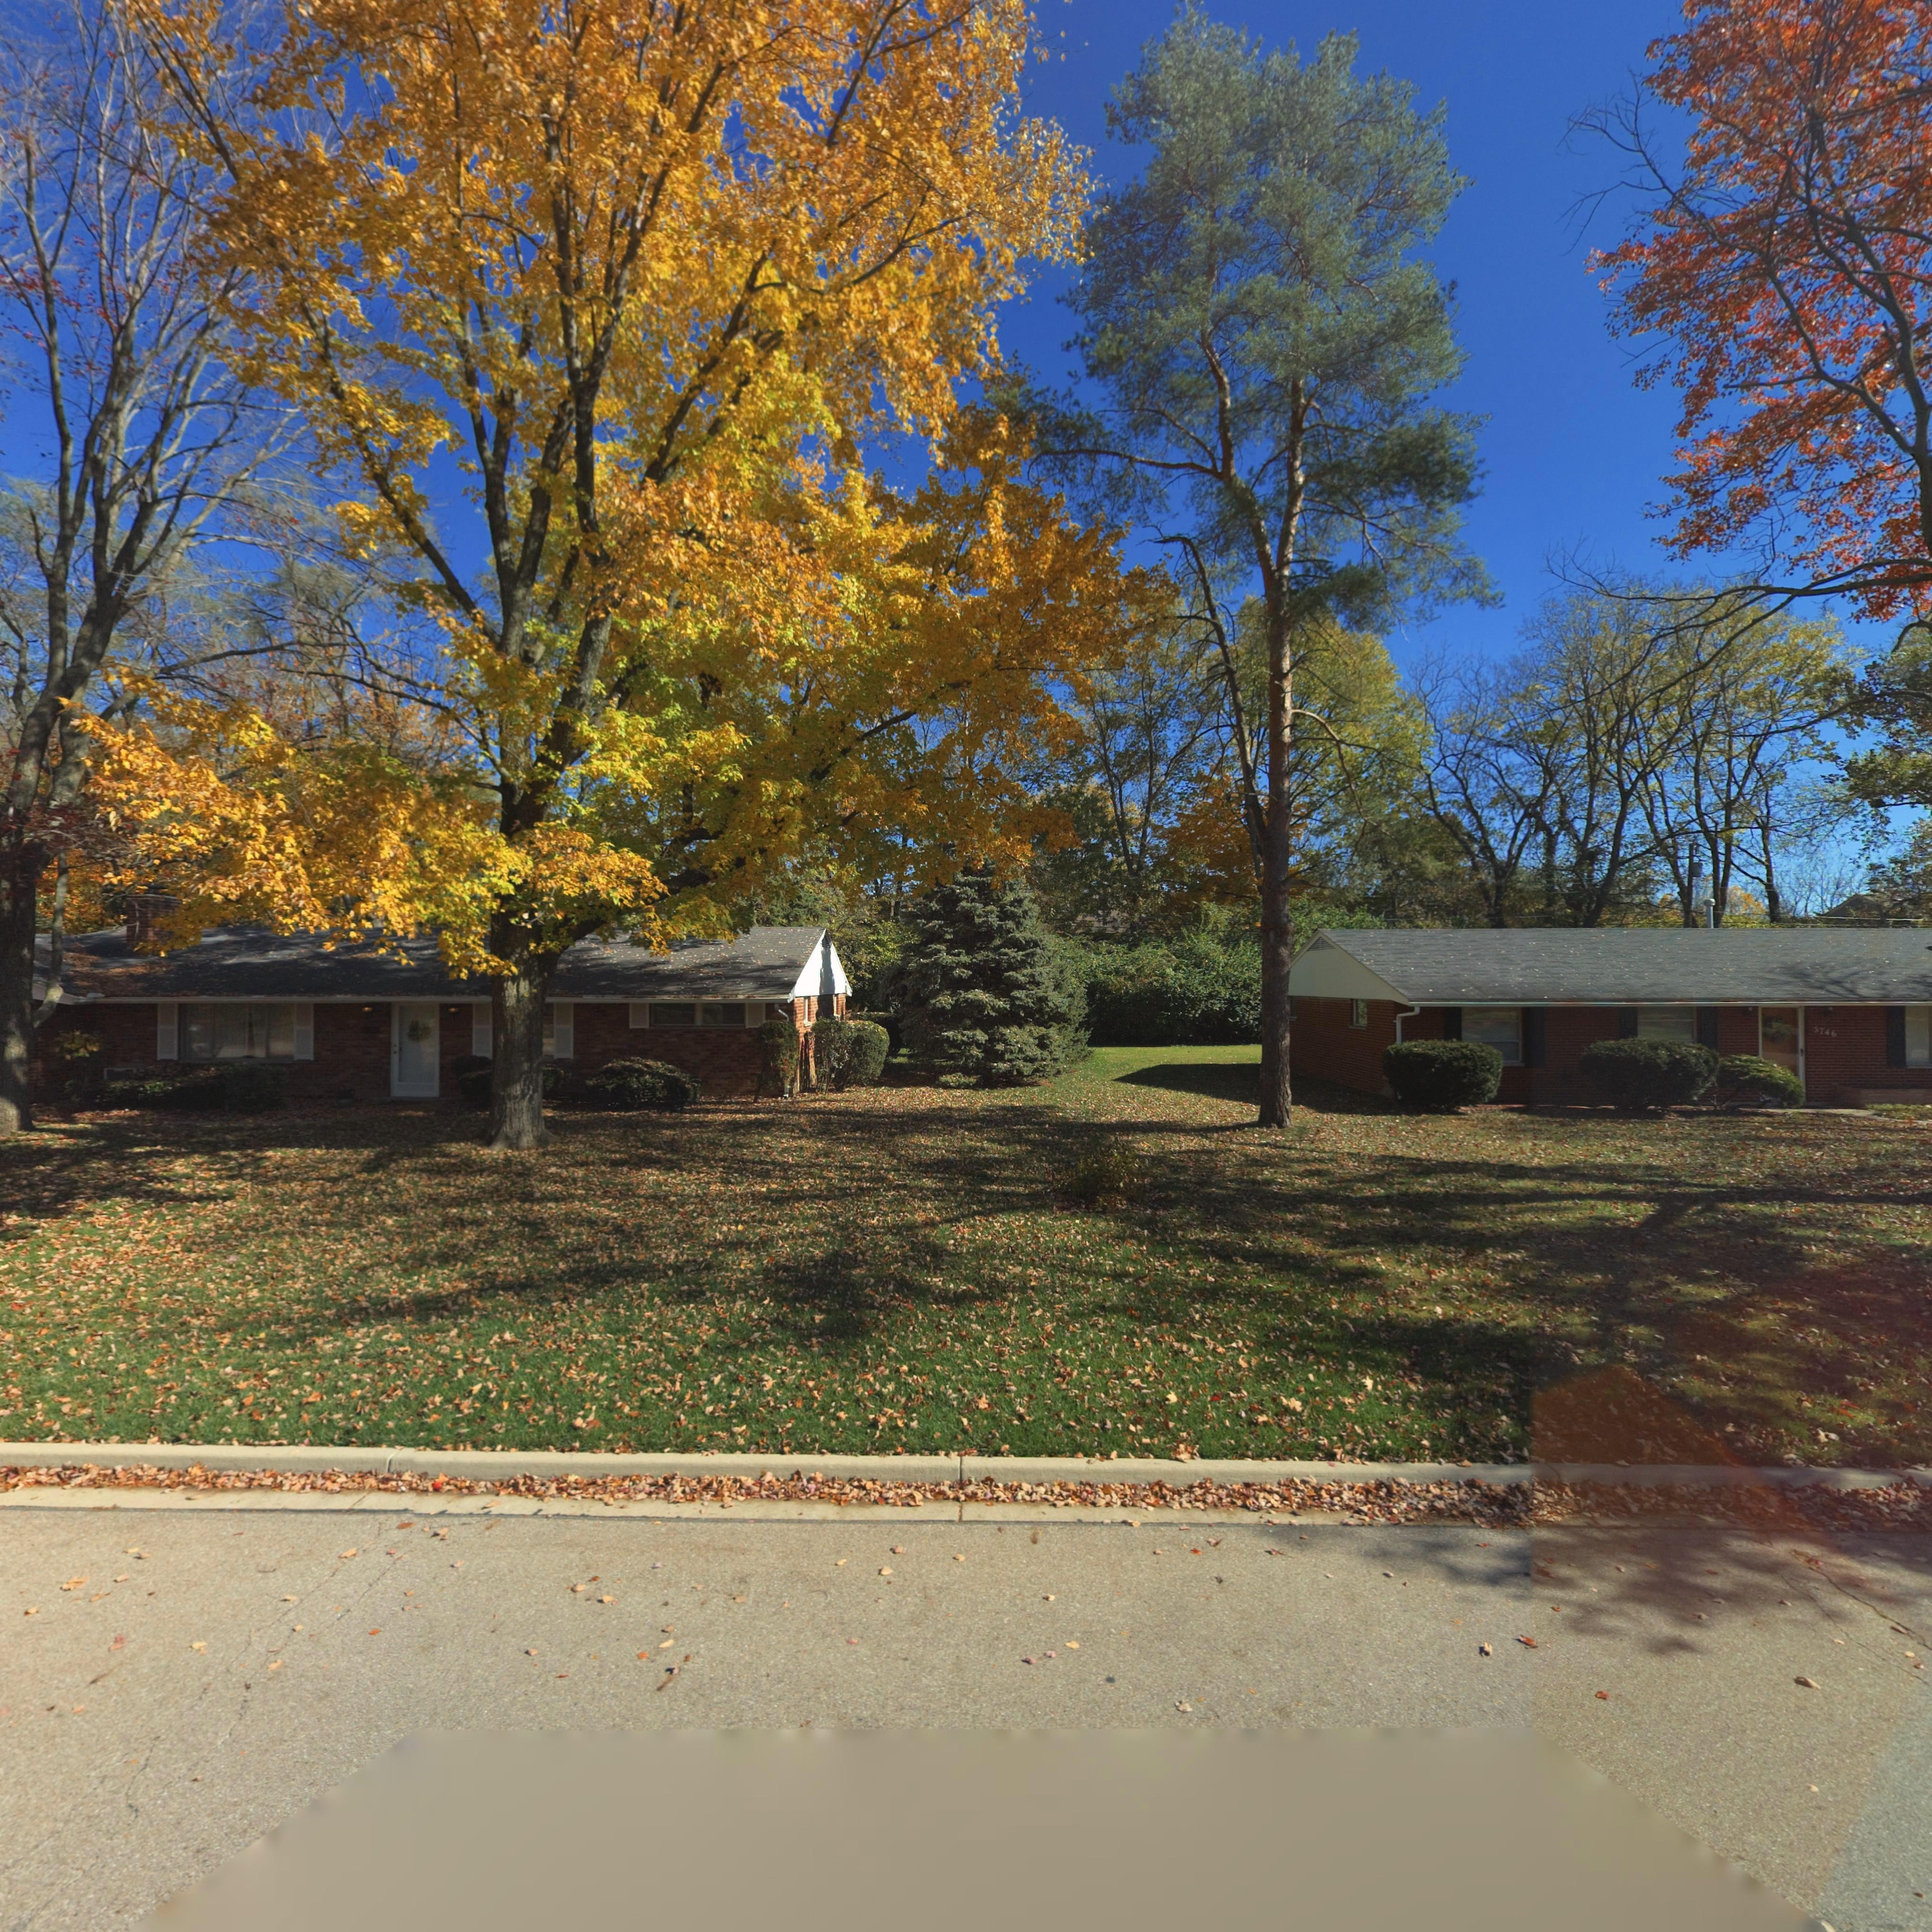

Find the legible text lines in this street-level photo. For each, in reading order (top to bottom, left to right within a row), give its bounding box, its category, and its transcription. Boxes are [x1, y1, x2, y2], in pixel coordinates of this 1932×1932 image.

[1813, 1025, 1837, 1038] StreetNumber: 3749